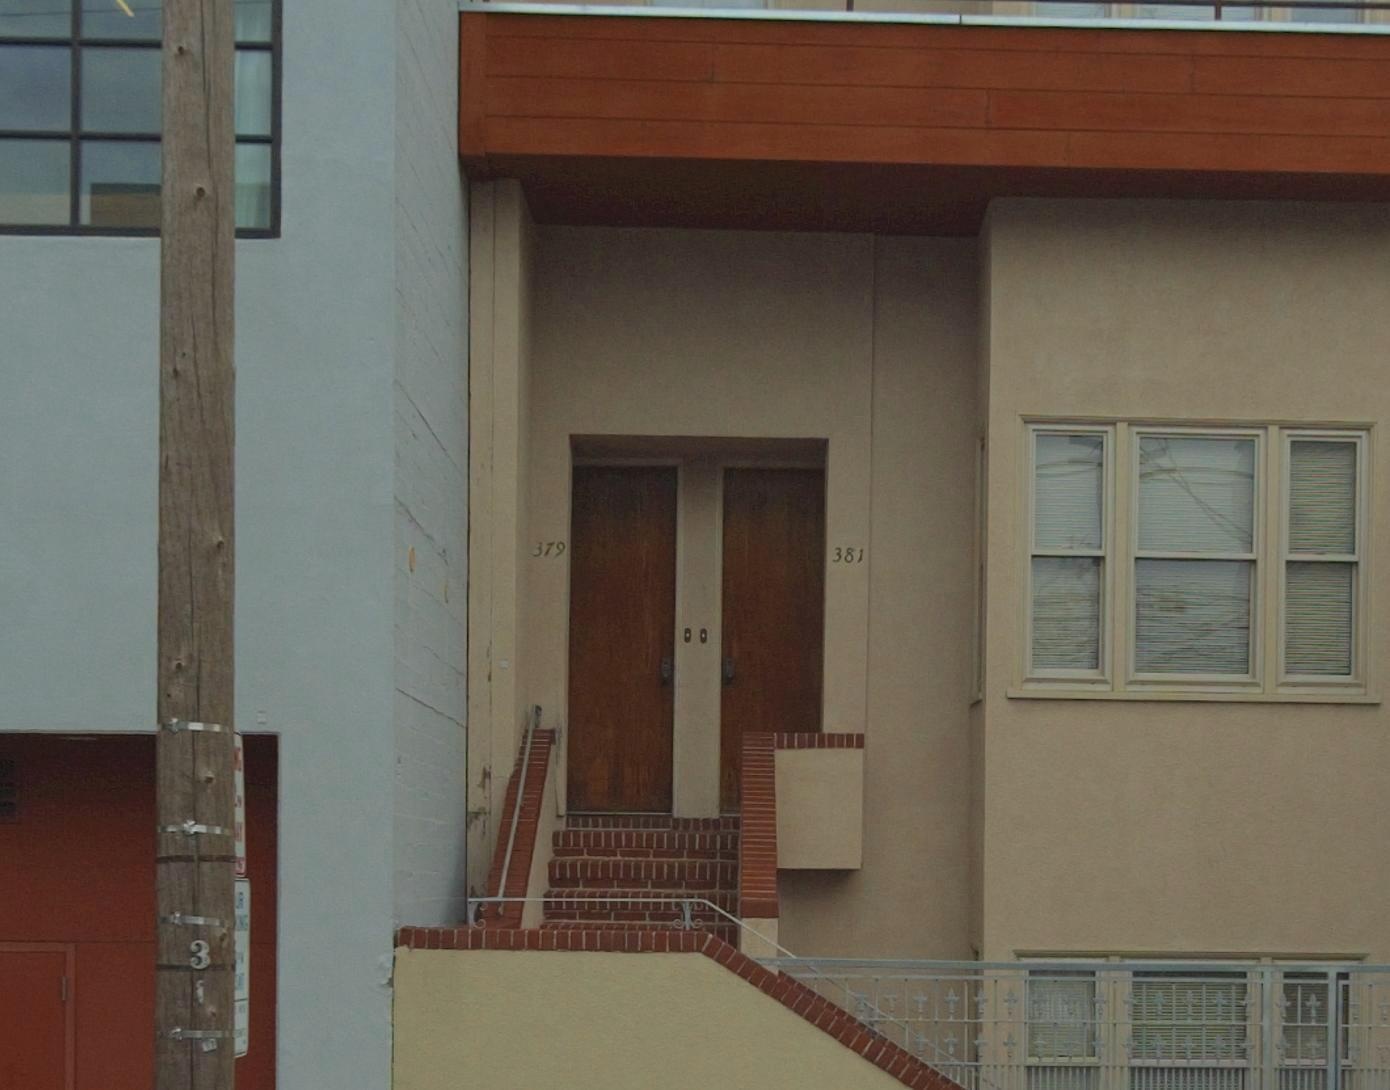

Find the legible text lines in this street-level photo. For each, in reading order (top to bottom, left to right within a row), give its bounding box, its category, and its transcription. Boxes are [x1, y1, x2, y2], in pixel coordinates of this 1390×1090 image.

[530, 540, 566, 558] StreetNumber: 379
[831, 546, 865, 564] StreetNumber: 381
[188, 939, 211, 1005] None: 31